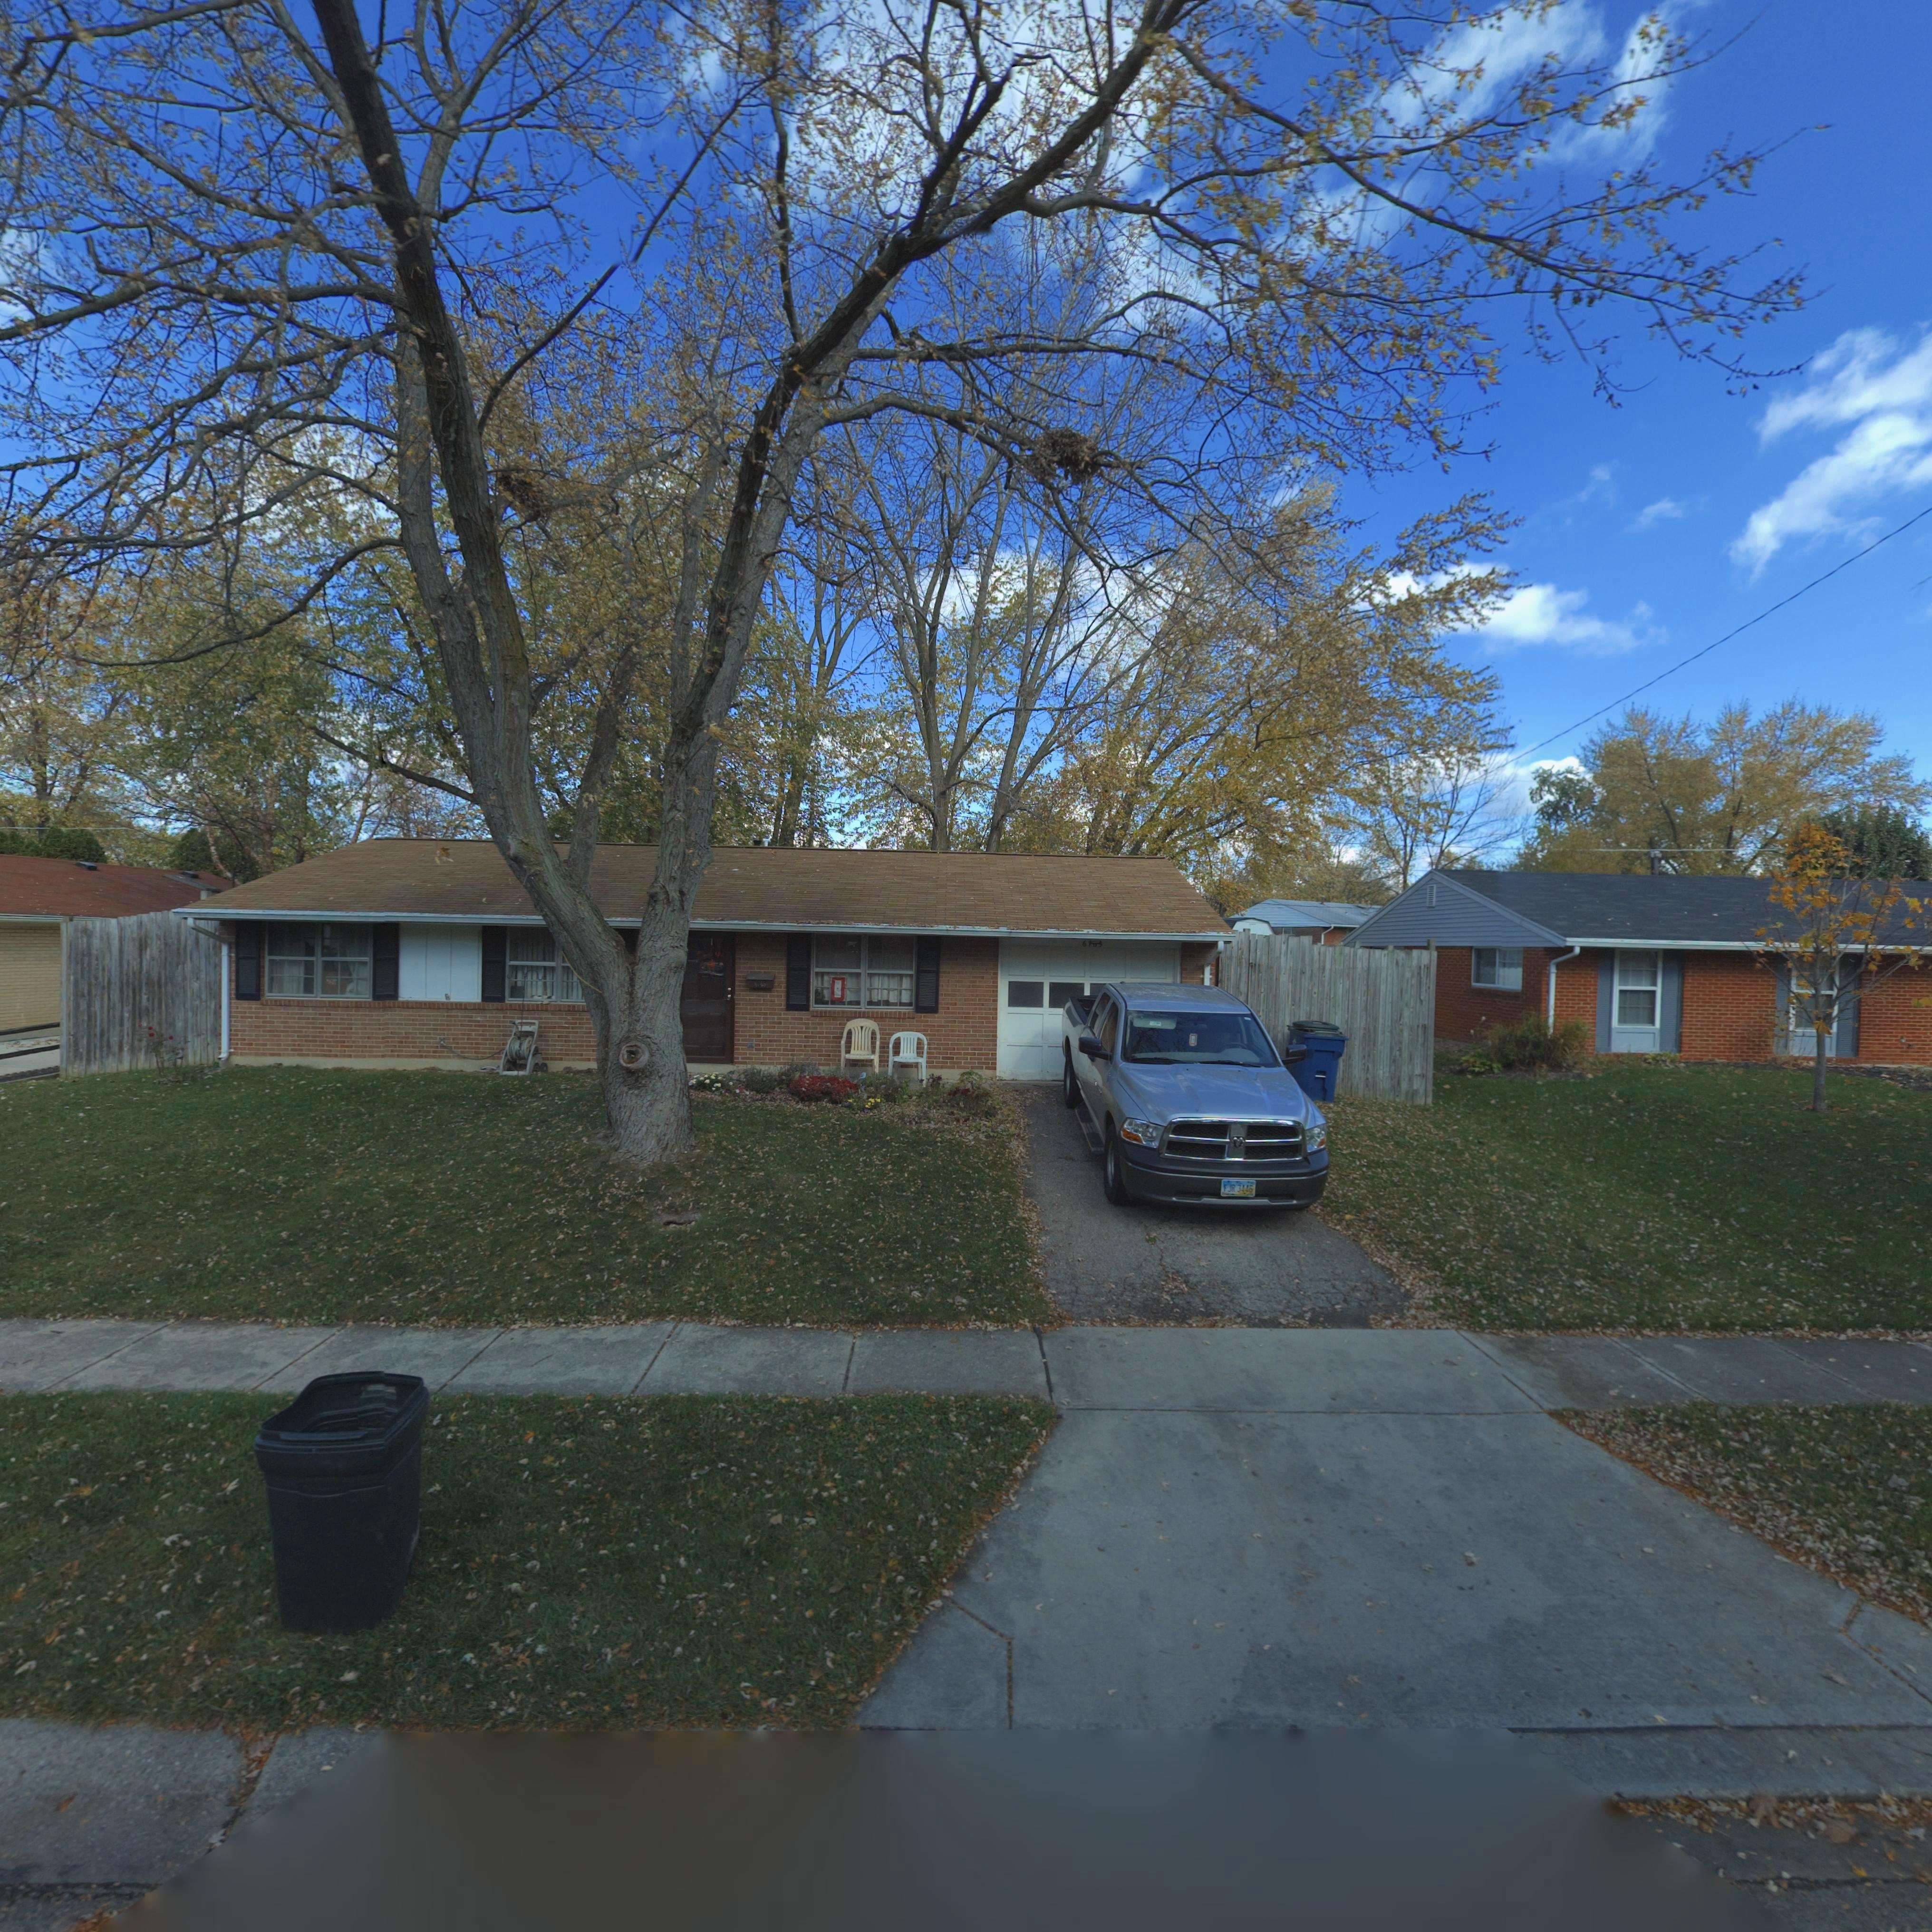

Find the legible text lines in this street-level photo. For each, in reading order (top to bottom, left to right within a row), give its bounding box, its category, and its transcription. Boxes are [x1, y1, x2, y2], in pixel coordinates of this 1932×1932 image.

[1082, 940, 1102, 947] StreetNumber: 67*3